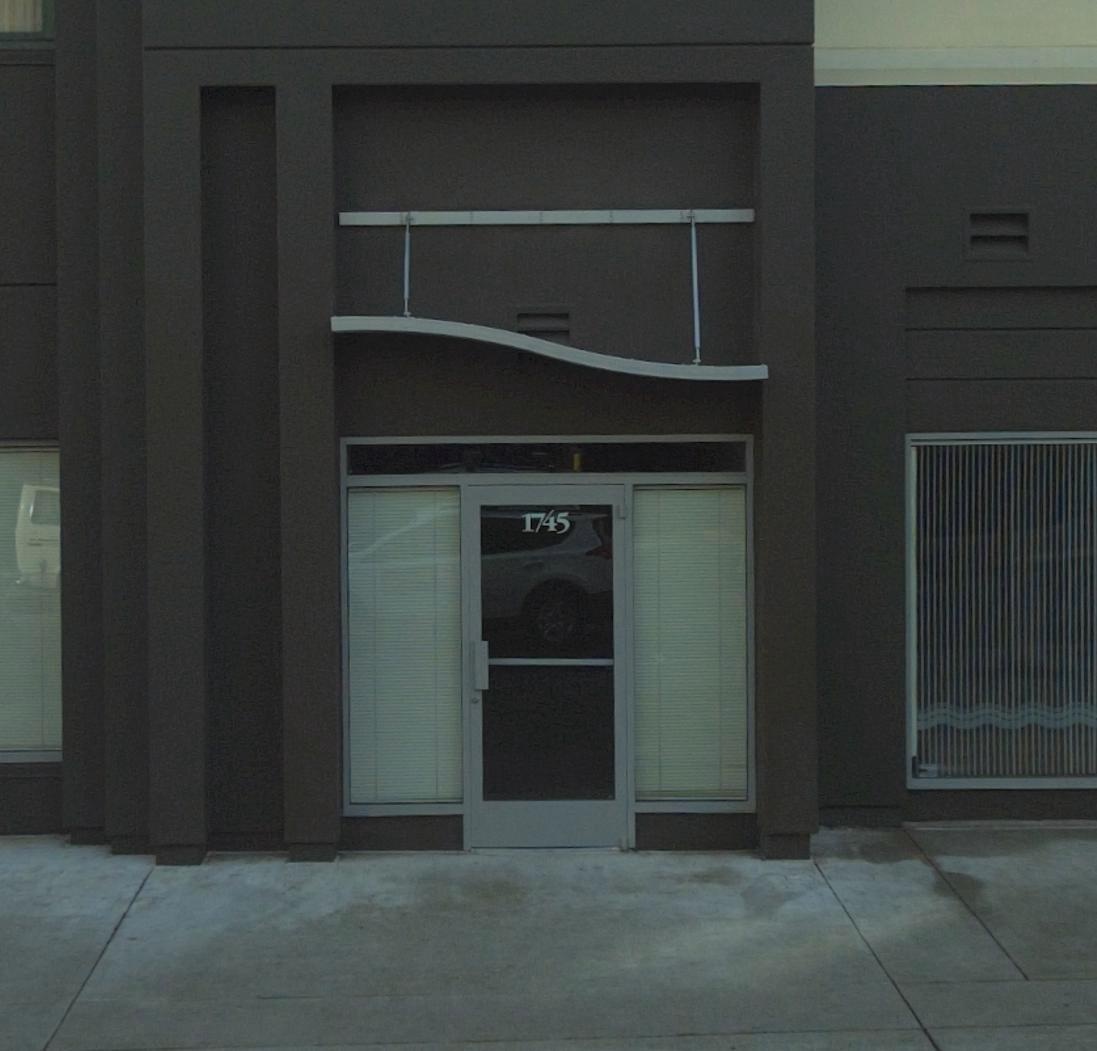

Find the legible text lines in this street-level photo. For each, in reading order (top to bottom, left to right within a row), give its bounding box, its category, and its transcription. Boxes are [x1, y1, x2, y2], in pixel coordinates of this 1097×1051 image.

[521, 507, 572, 536] StreetNumber: 1745